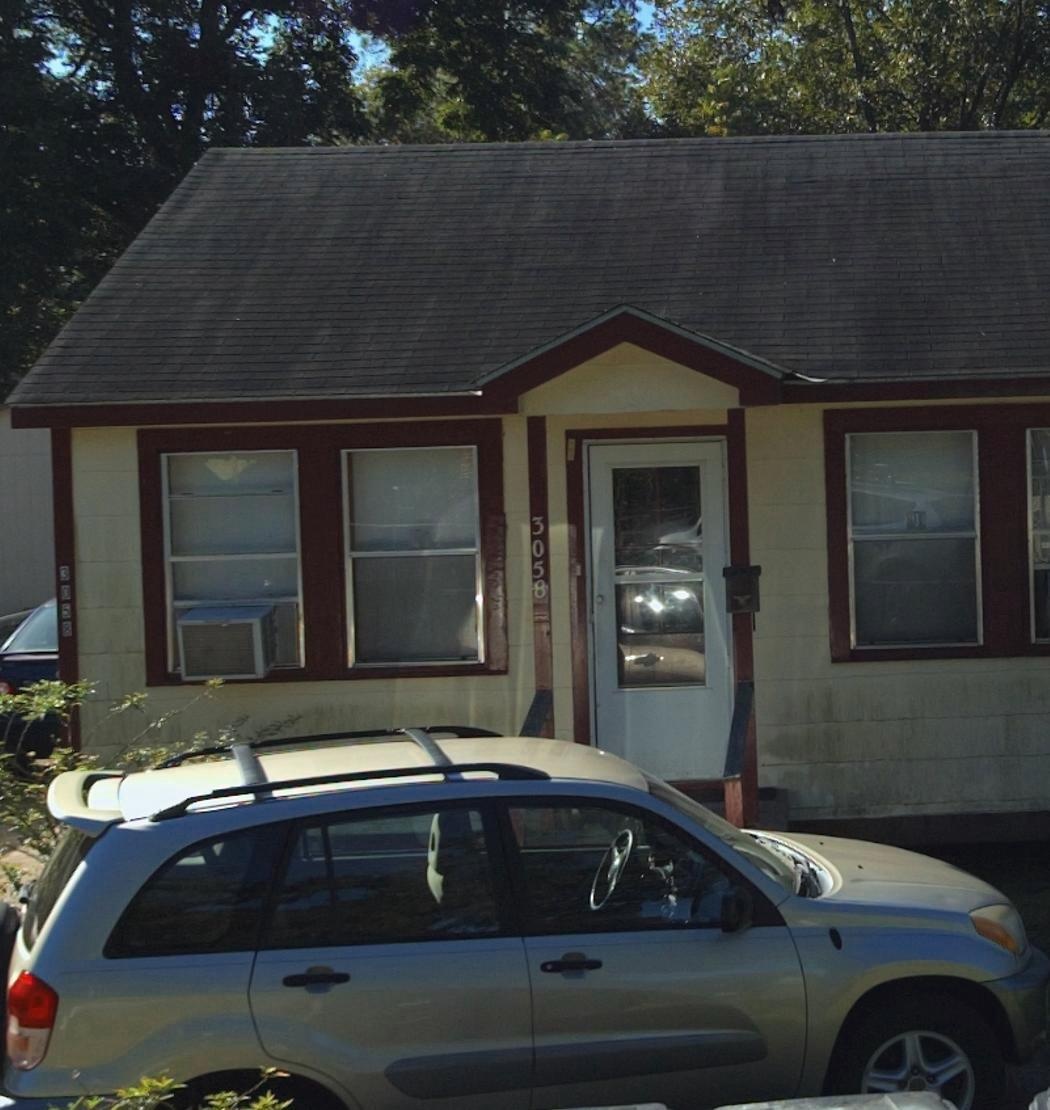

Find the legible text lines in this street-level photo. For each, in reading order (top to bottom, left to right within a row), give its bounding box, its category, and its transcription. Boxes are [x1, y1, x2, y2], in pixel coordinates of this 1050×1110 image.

[529, 514, 548, 600] StreetNumber: 3058
[59, 564, 73, 637] StreetNumber: 3058